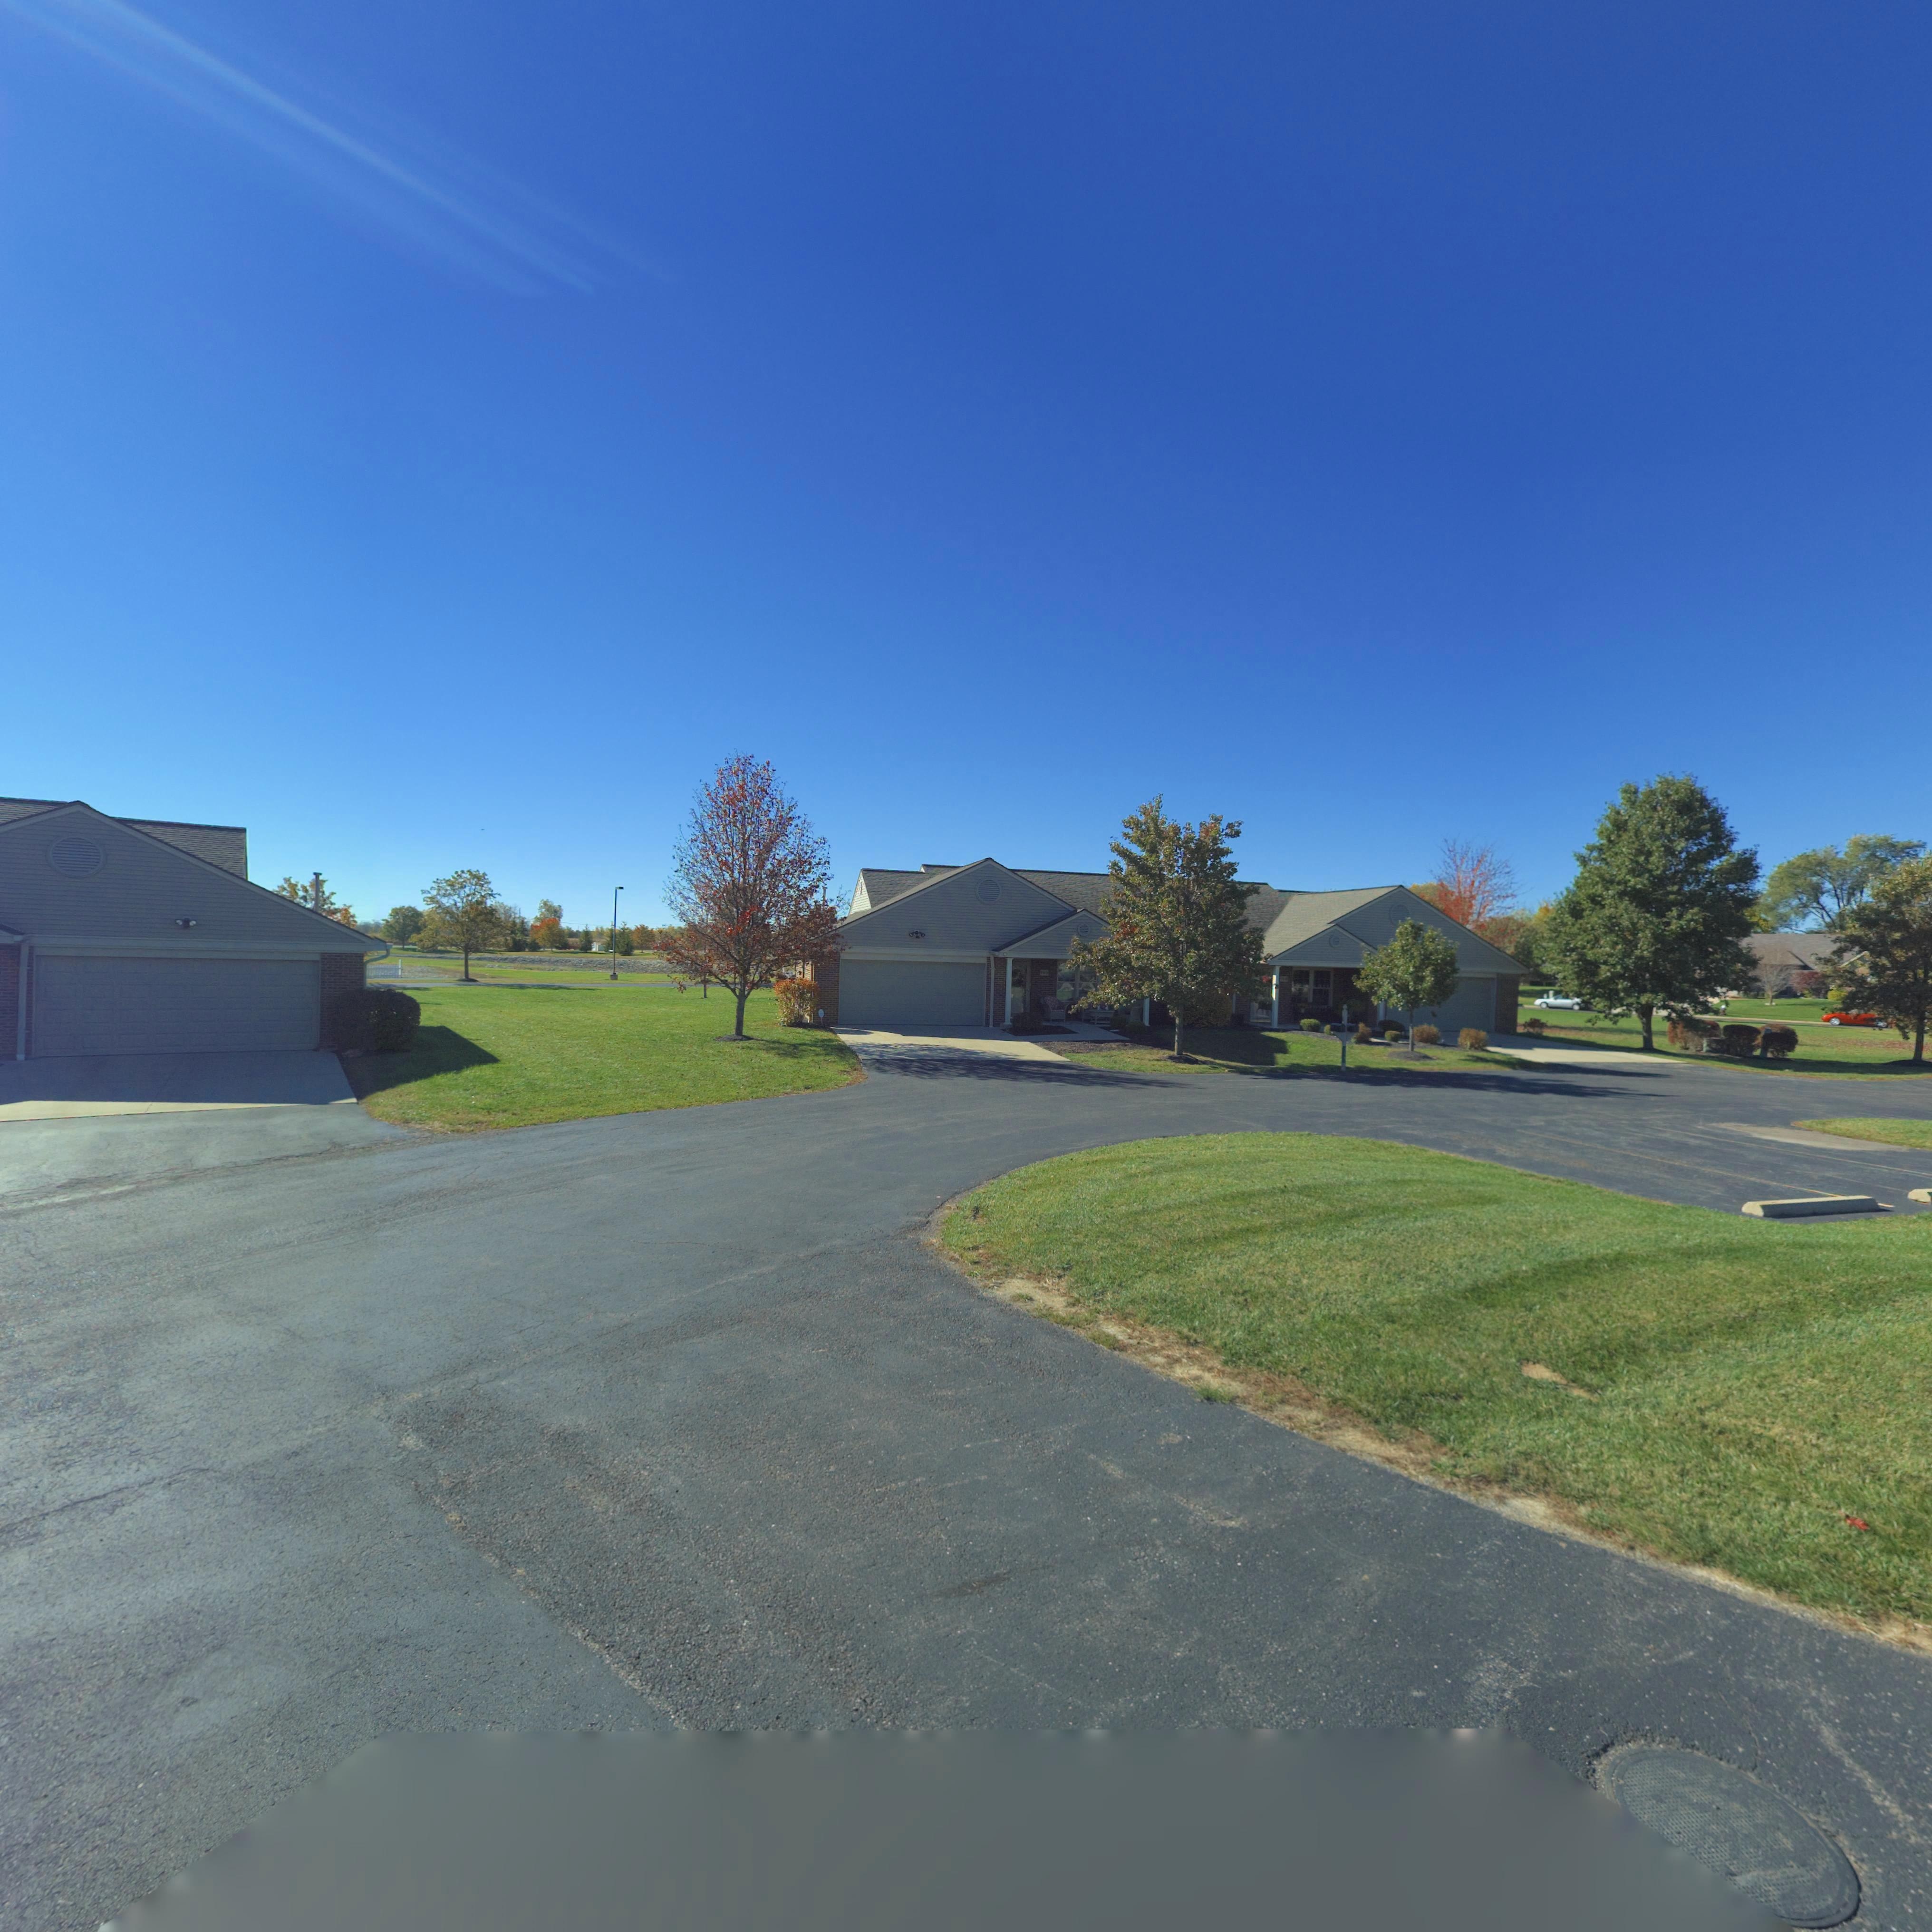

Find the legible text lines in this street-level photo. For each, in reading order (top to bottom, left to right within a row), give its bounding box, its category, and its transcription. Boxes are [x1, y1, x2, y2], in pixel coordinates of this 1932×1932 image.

[1040, 971, 1048, 975] StreetNumber: 7*0